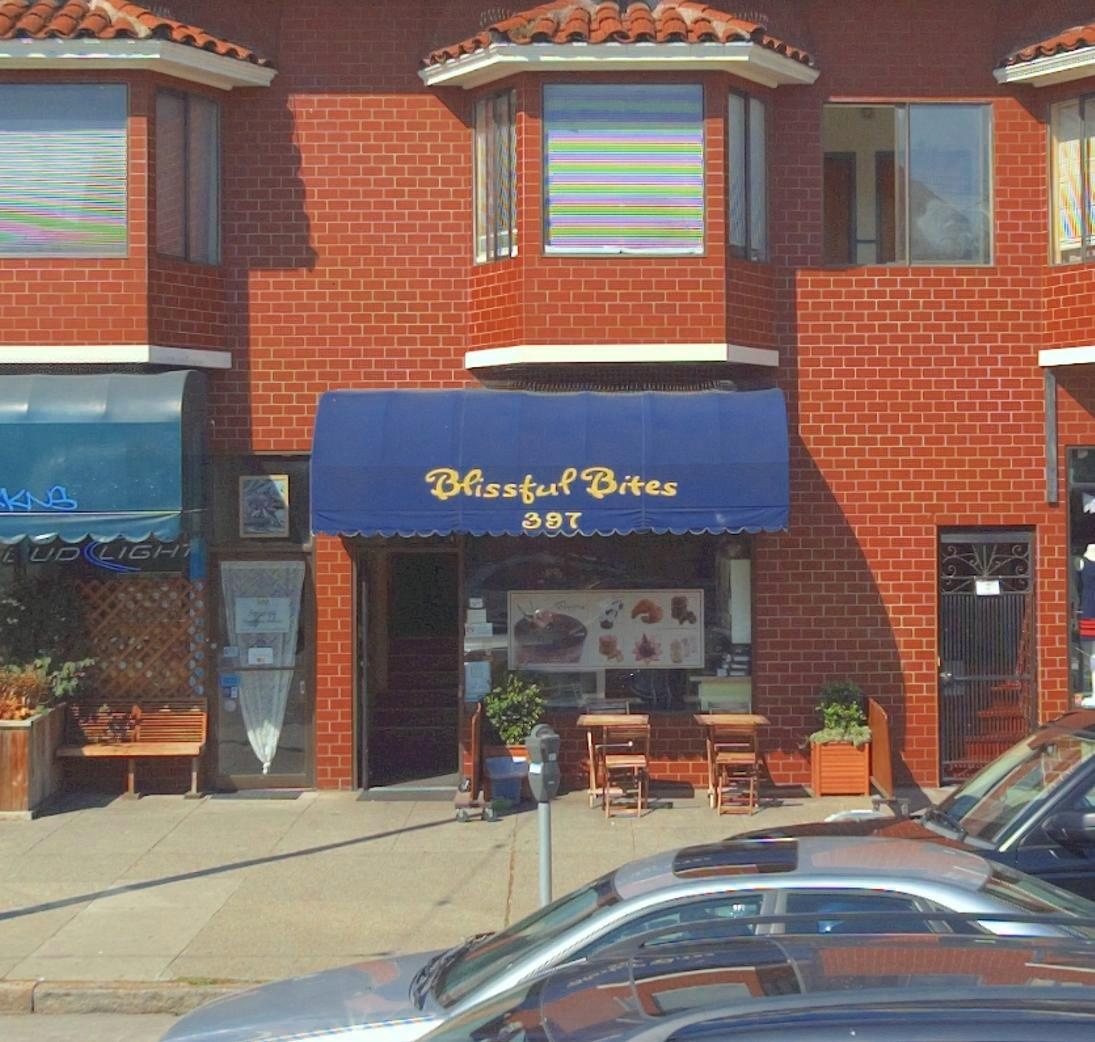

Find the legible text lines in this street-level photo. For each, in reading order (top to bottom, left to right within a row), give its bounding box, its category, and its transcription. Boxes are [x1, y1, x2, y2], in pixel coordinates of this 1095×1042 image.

[424, 463, 680, 506] BusinessName: Blissful Bites
[521, 507, 584, 533] StreetNumber: 397
[28, 542, 192, 562] None: UD LIGH*